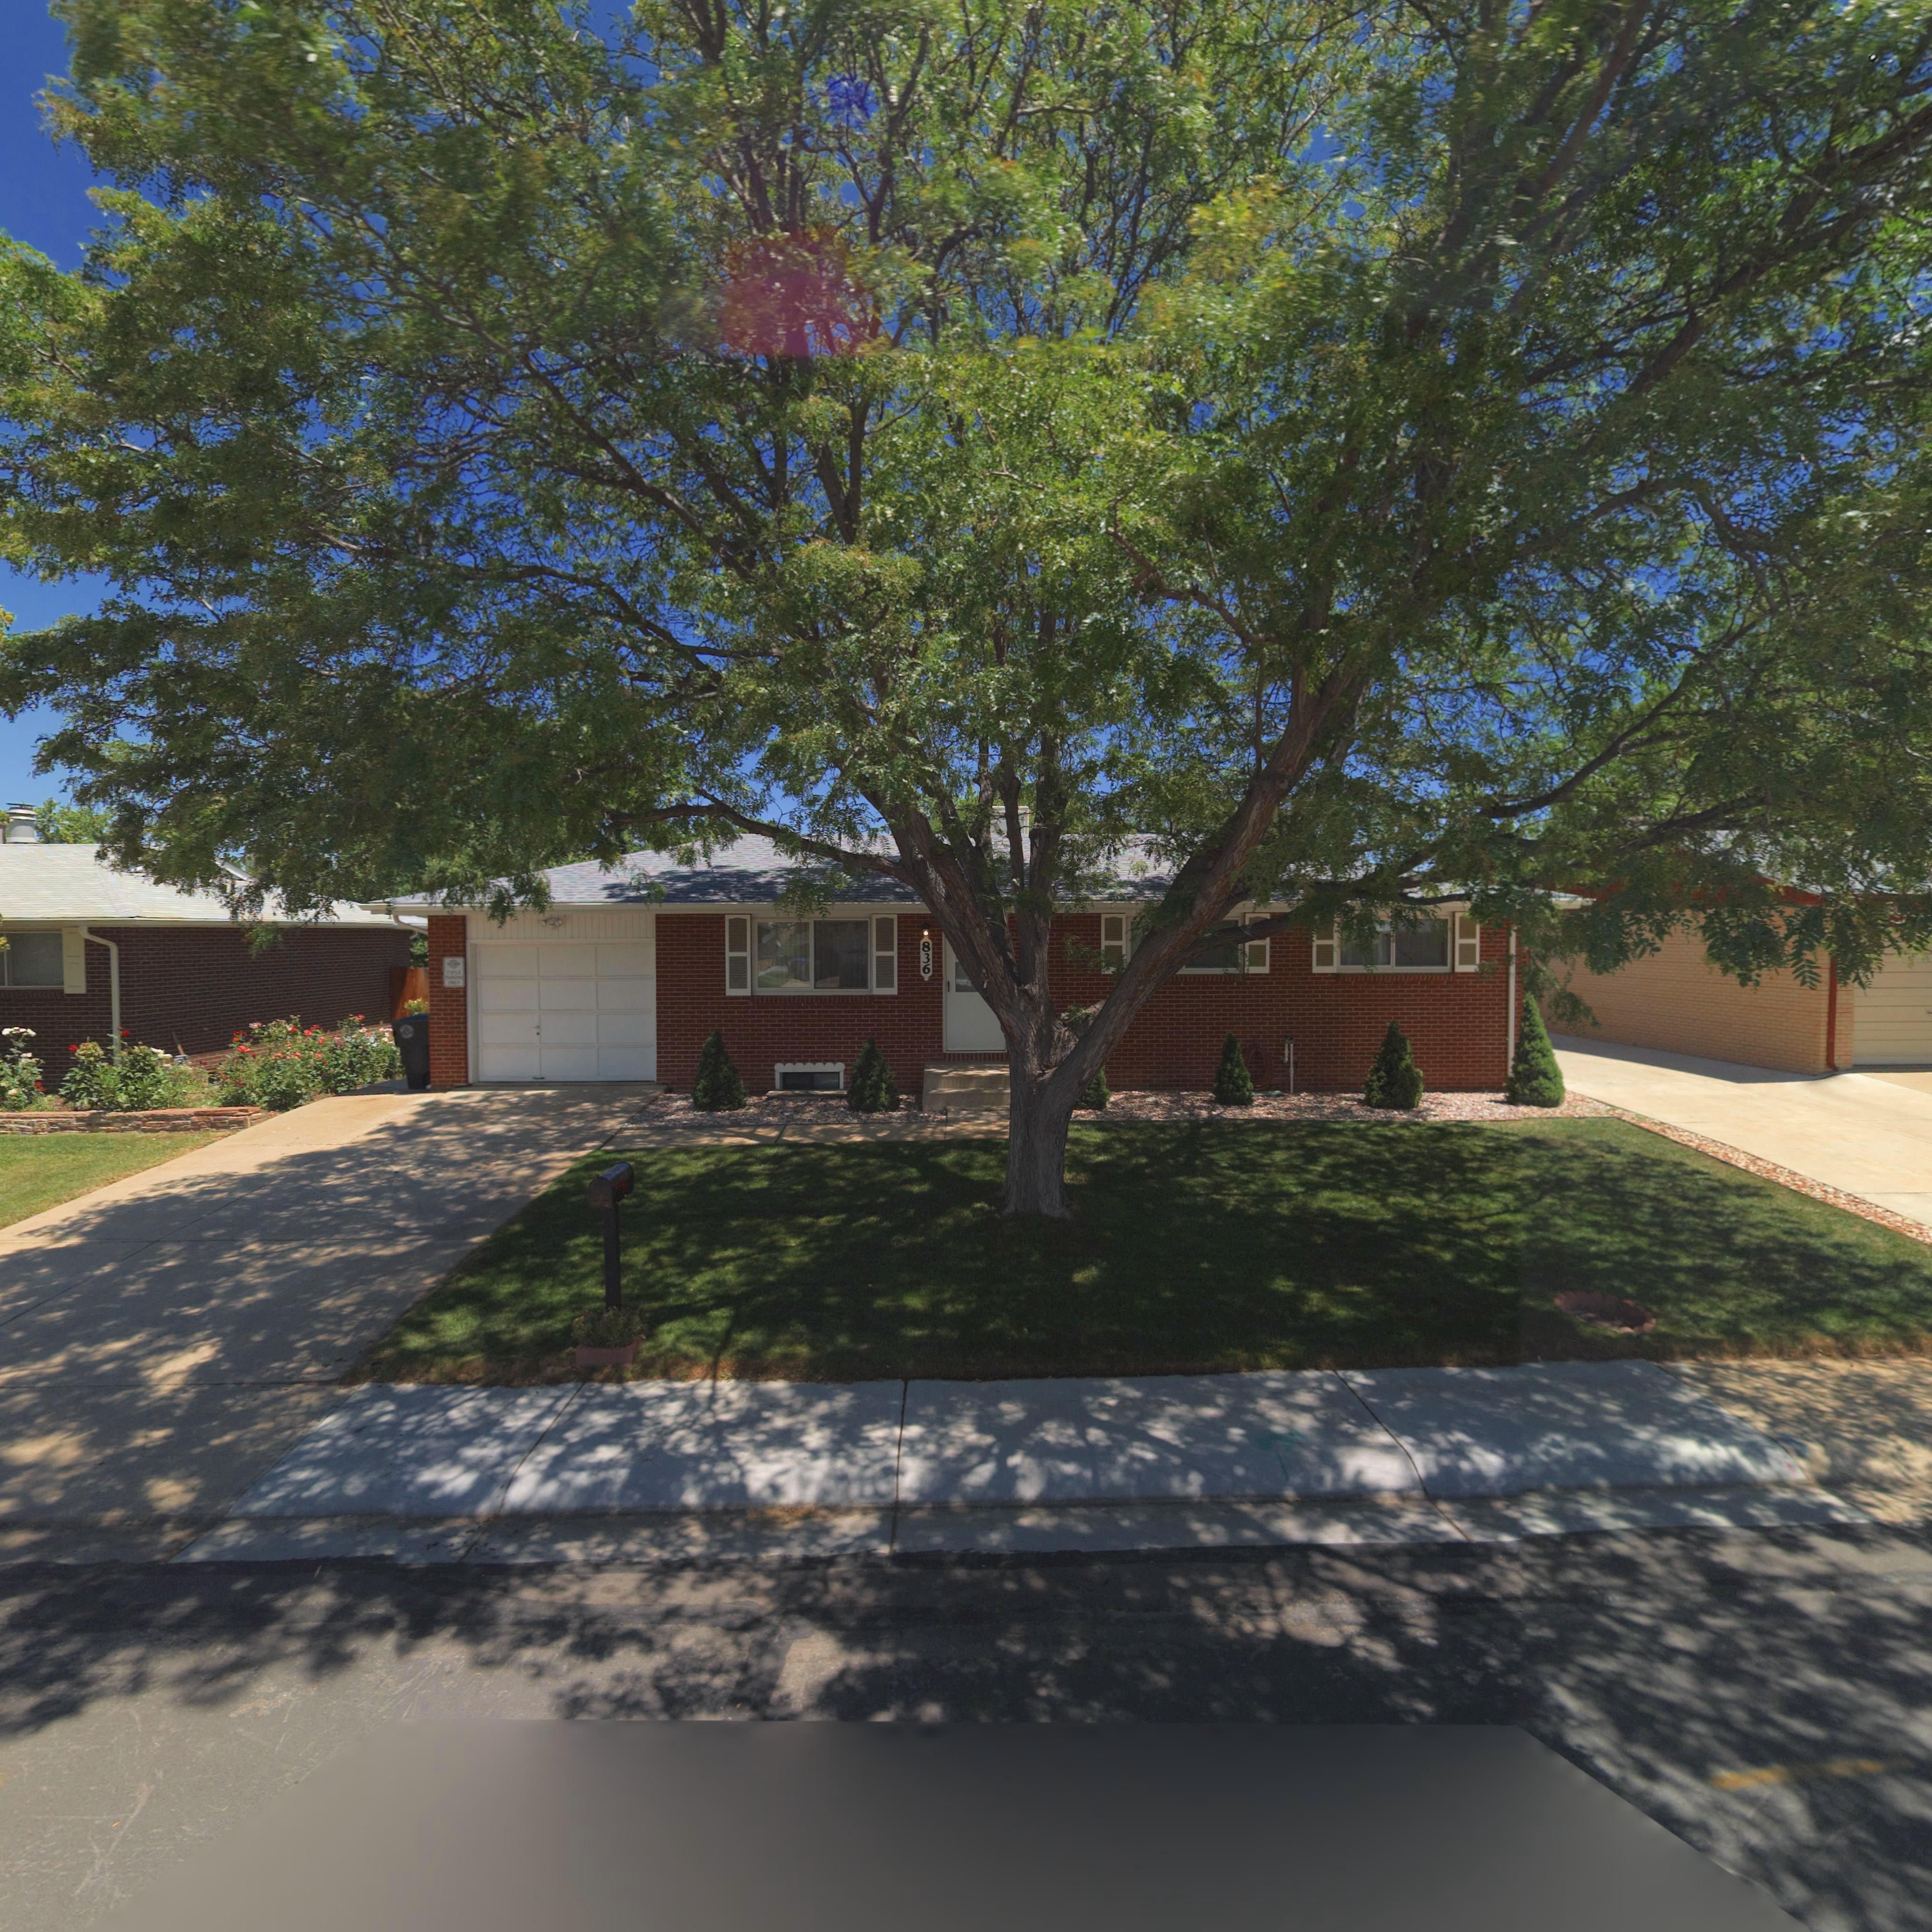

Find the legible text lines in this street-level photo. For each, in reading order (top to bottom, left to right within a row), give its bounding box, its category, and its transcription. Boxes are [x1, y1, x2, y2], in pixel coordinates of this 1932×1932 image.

[921, 941, 930, 975] StreetNumber: 836